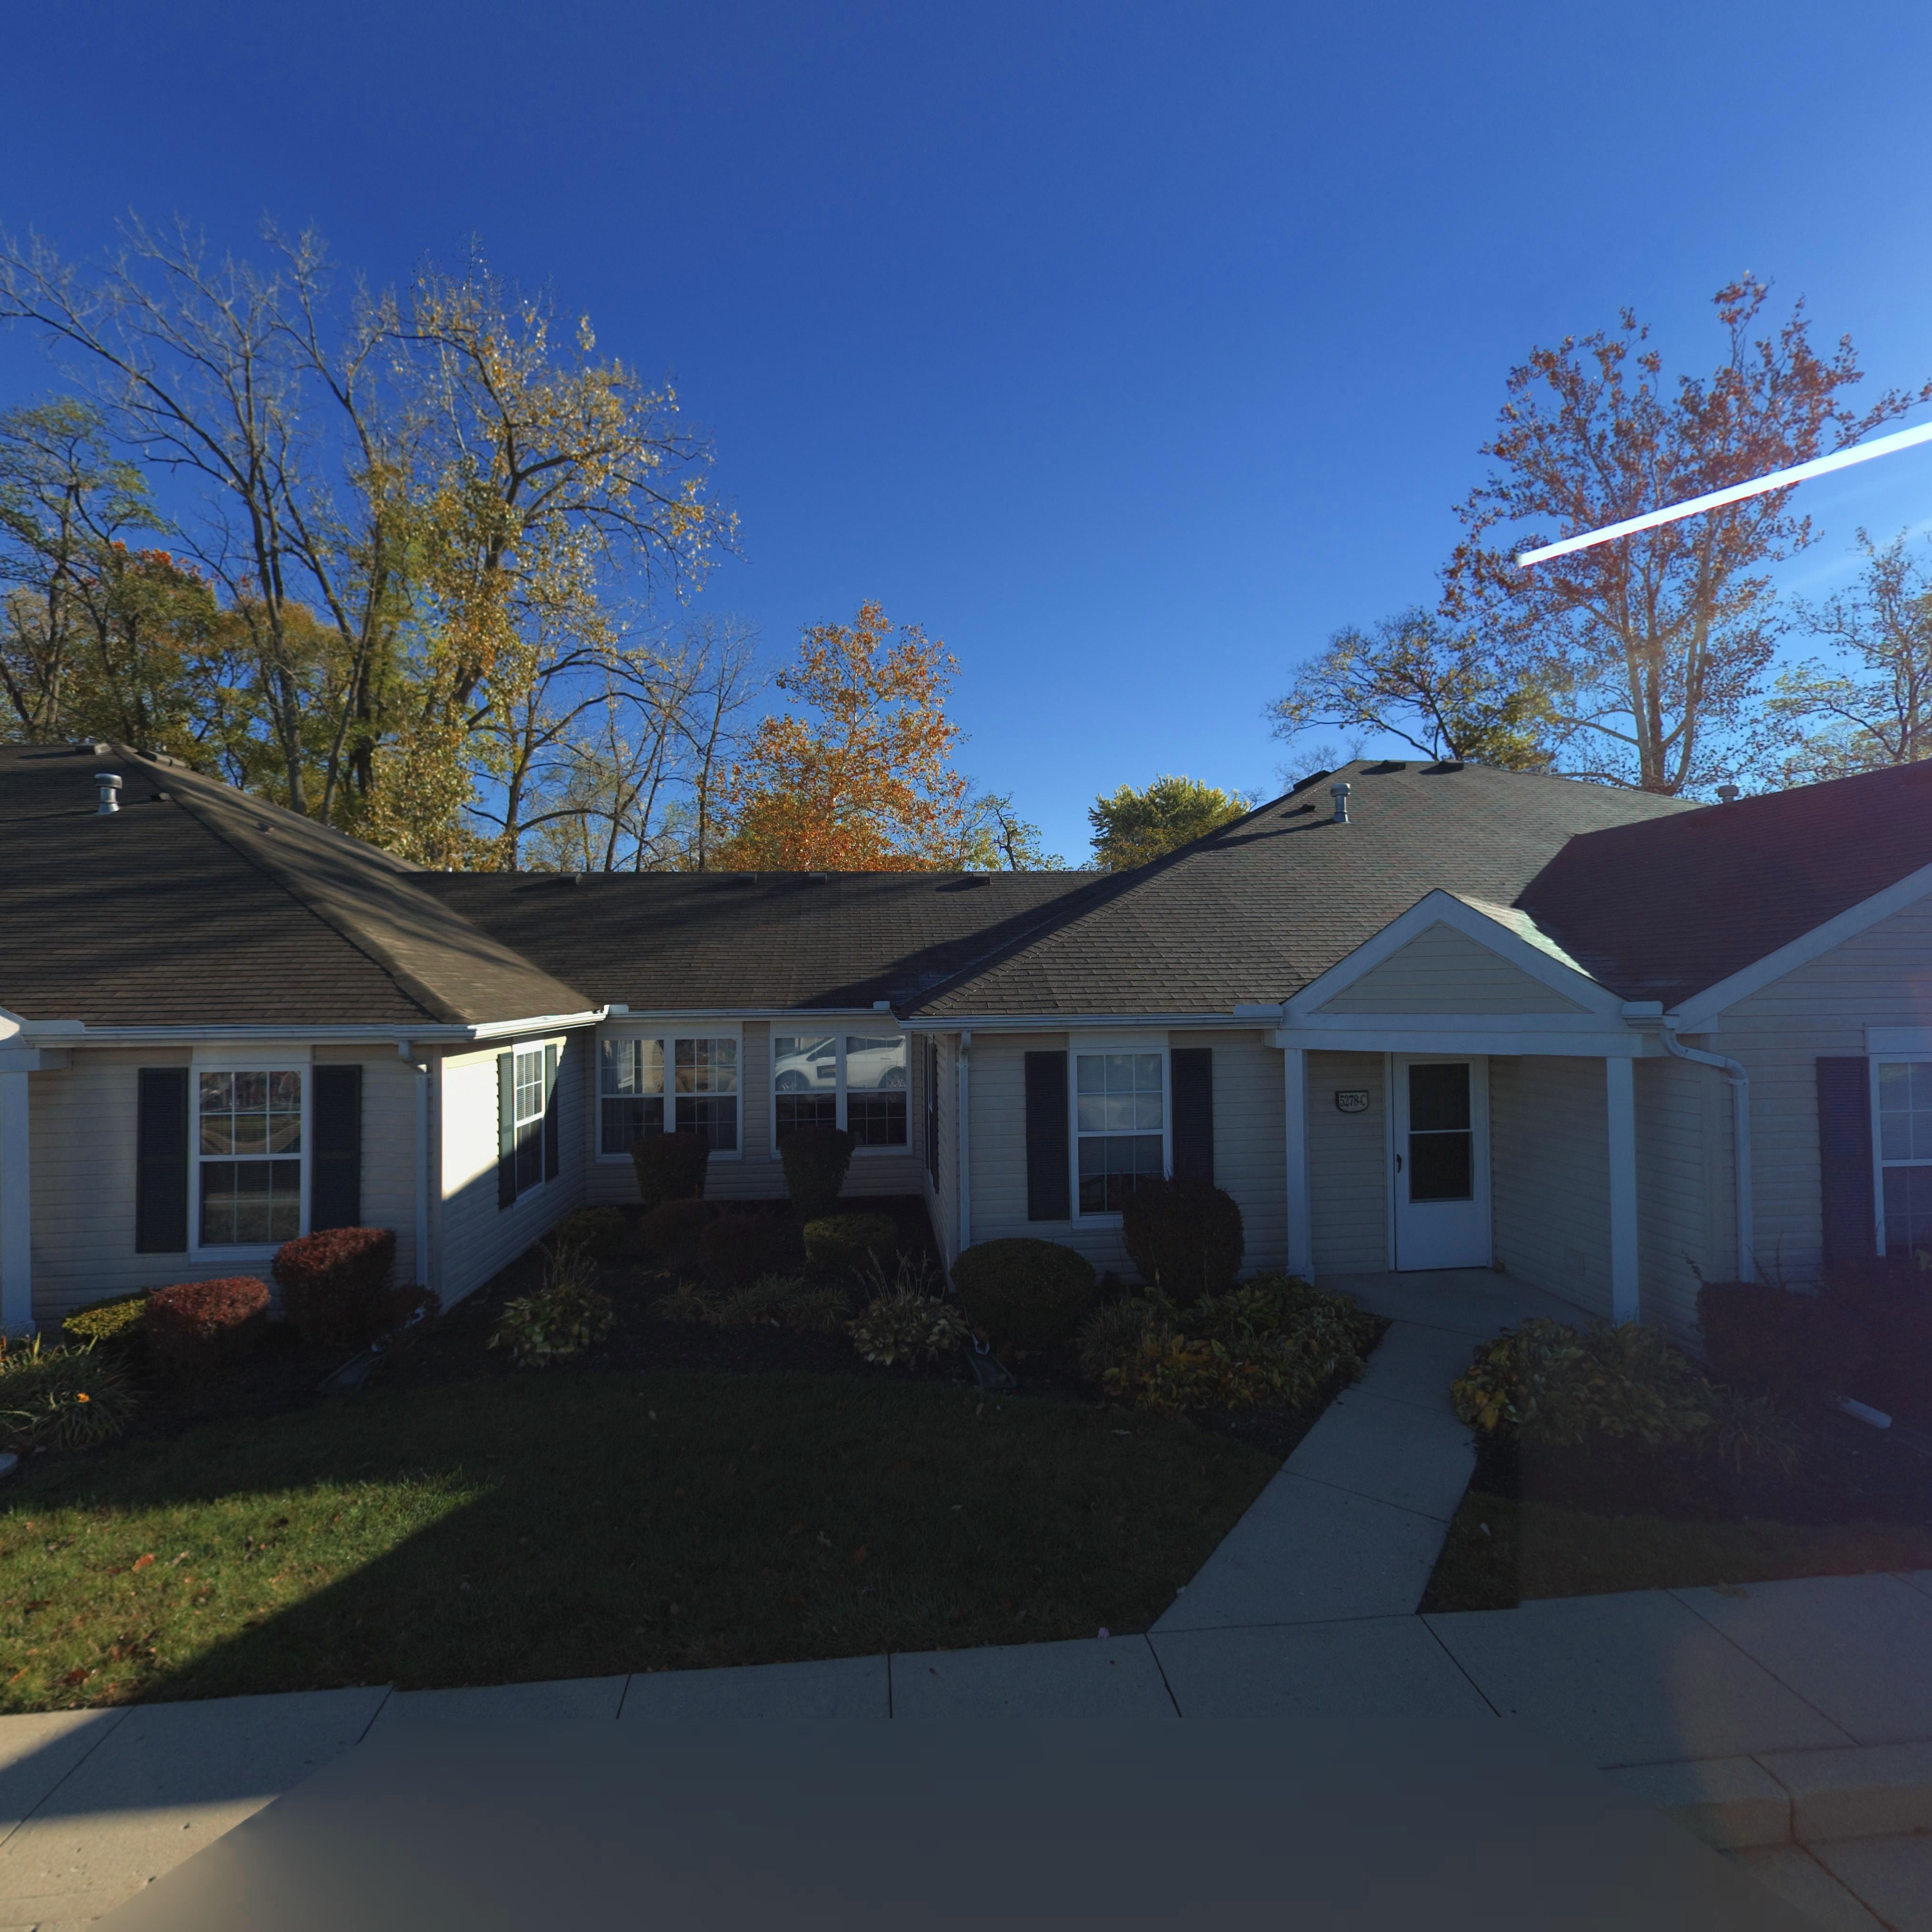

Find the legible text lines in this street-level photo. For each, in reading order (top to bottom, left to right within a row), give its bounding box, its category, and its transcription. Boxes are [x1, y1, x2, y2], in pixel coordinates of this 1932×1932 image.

[1339, 1093, 1366, 1108] StreetNumber: 5278-C